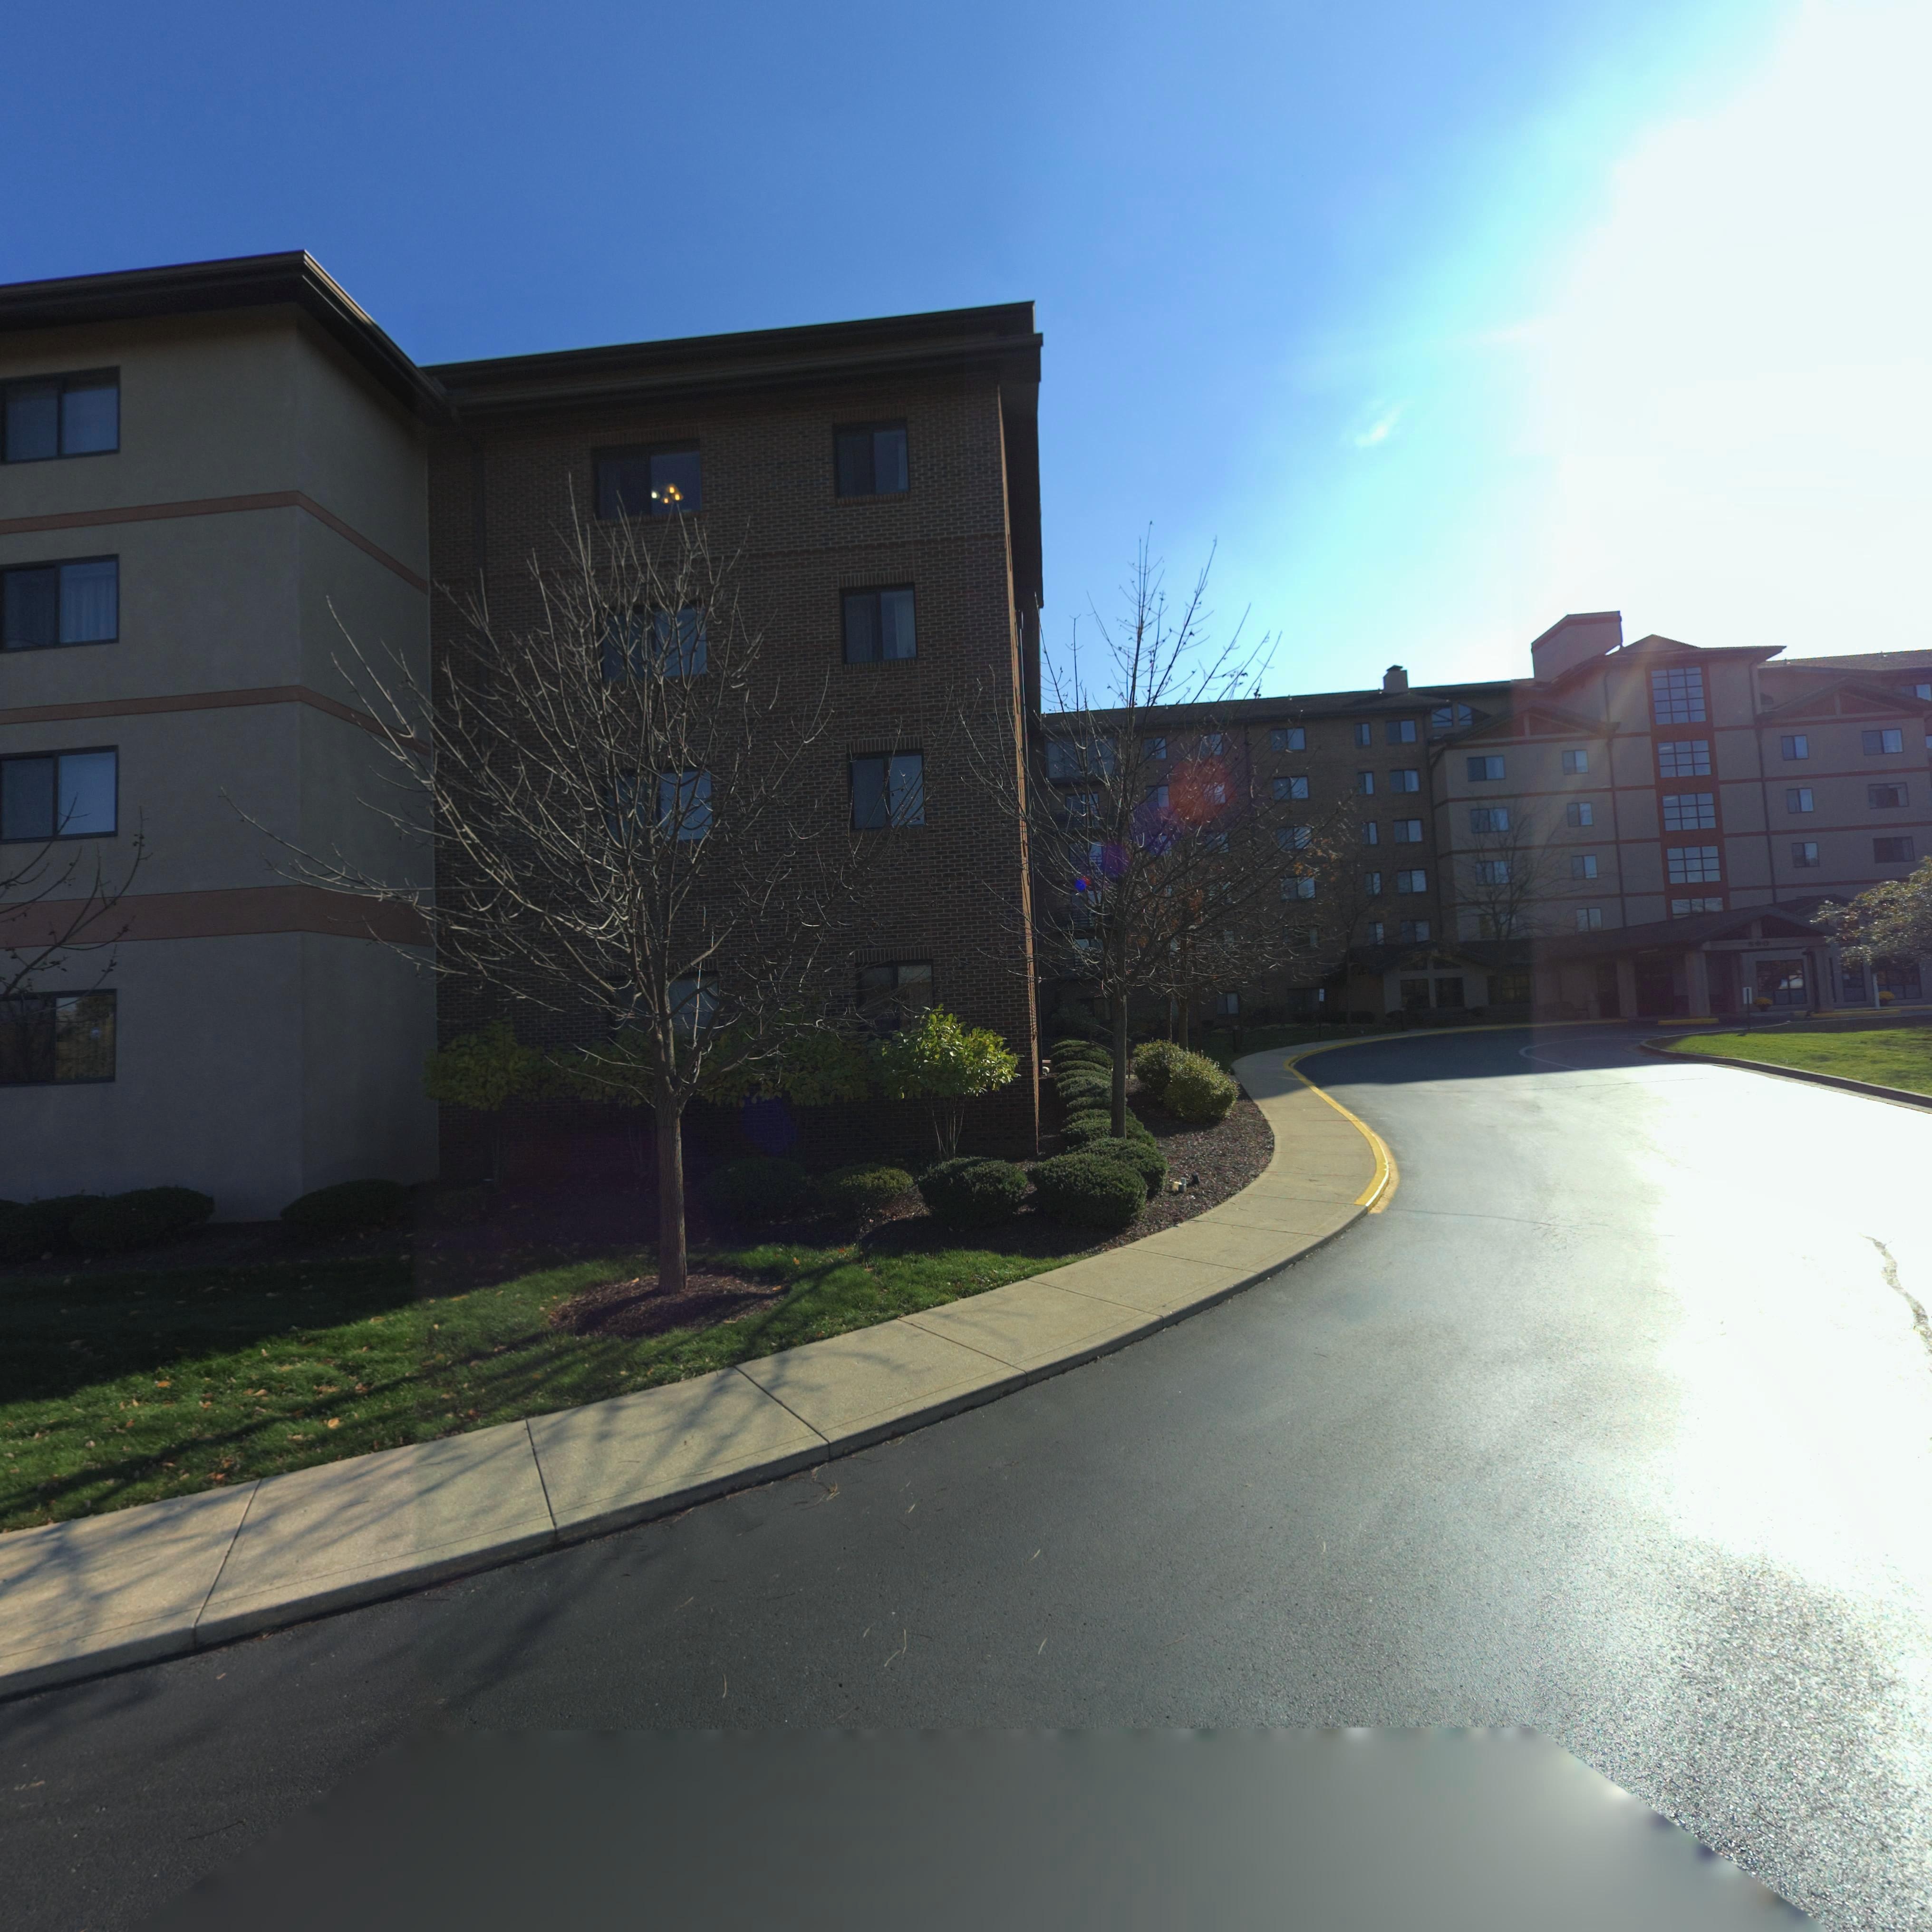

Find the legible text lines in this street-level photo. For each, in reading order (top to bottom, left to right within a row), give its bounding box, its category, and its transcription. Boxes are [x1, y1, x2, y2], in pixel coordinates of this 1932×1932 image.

[1748, 939, 1768, 947] StreetNumber: 590